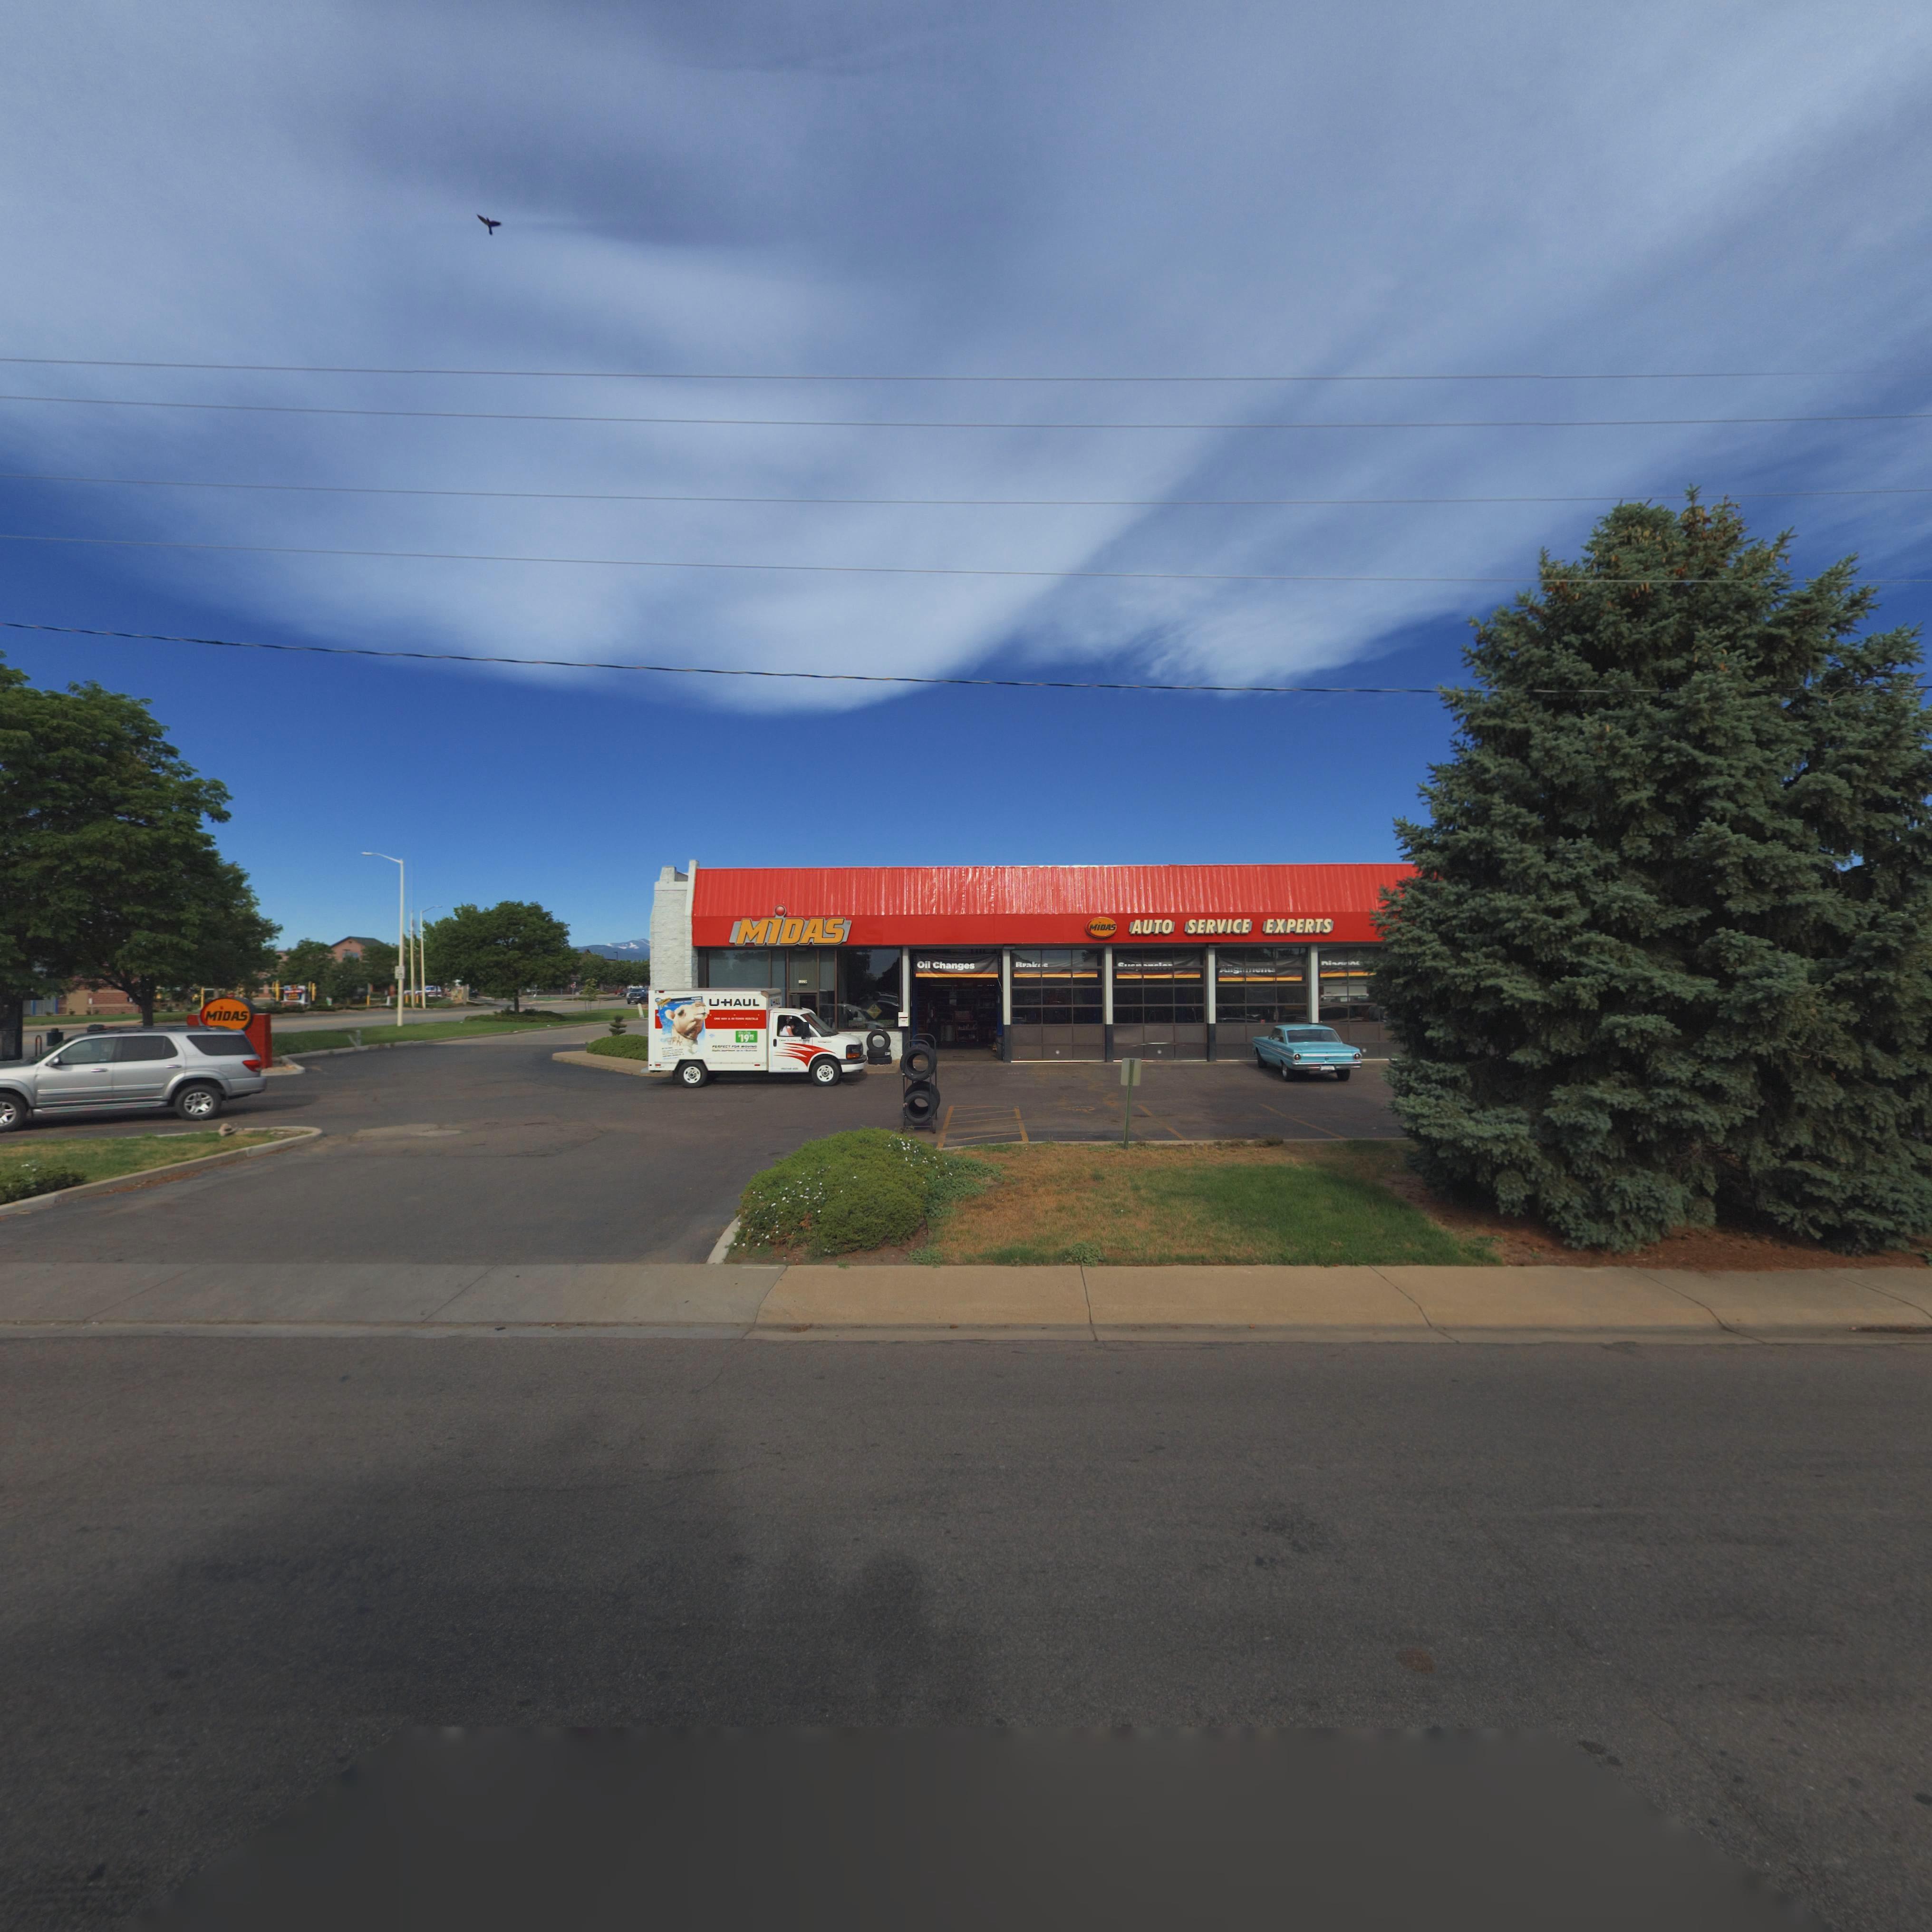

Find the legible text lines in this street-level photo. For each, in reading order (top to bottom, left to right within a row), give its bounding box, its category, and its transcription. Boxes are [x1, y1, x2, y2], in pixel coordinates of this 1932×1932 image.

[734, 905, 846, 945] BusinessName: MiDAS
[1088, 920, 1116, 931] BusinessName: MiDAS
[204, 1005, 249, 1021] BusinessName: MiDAS